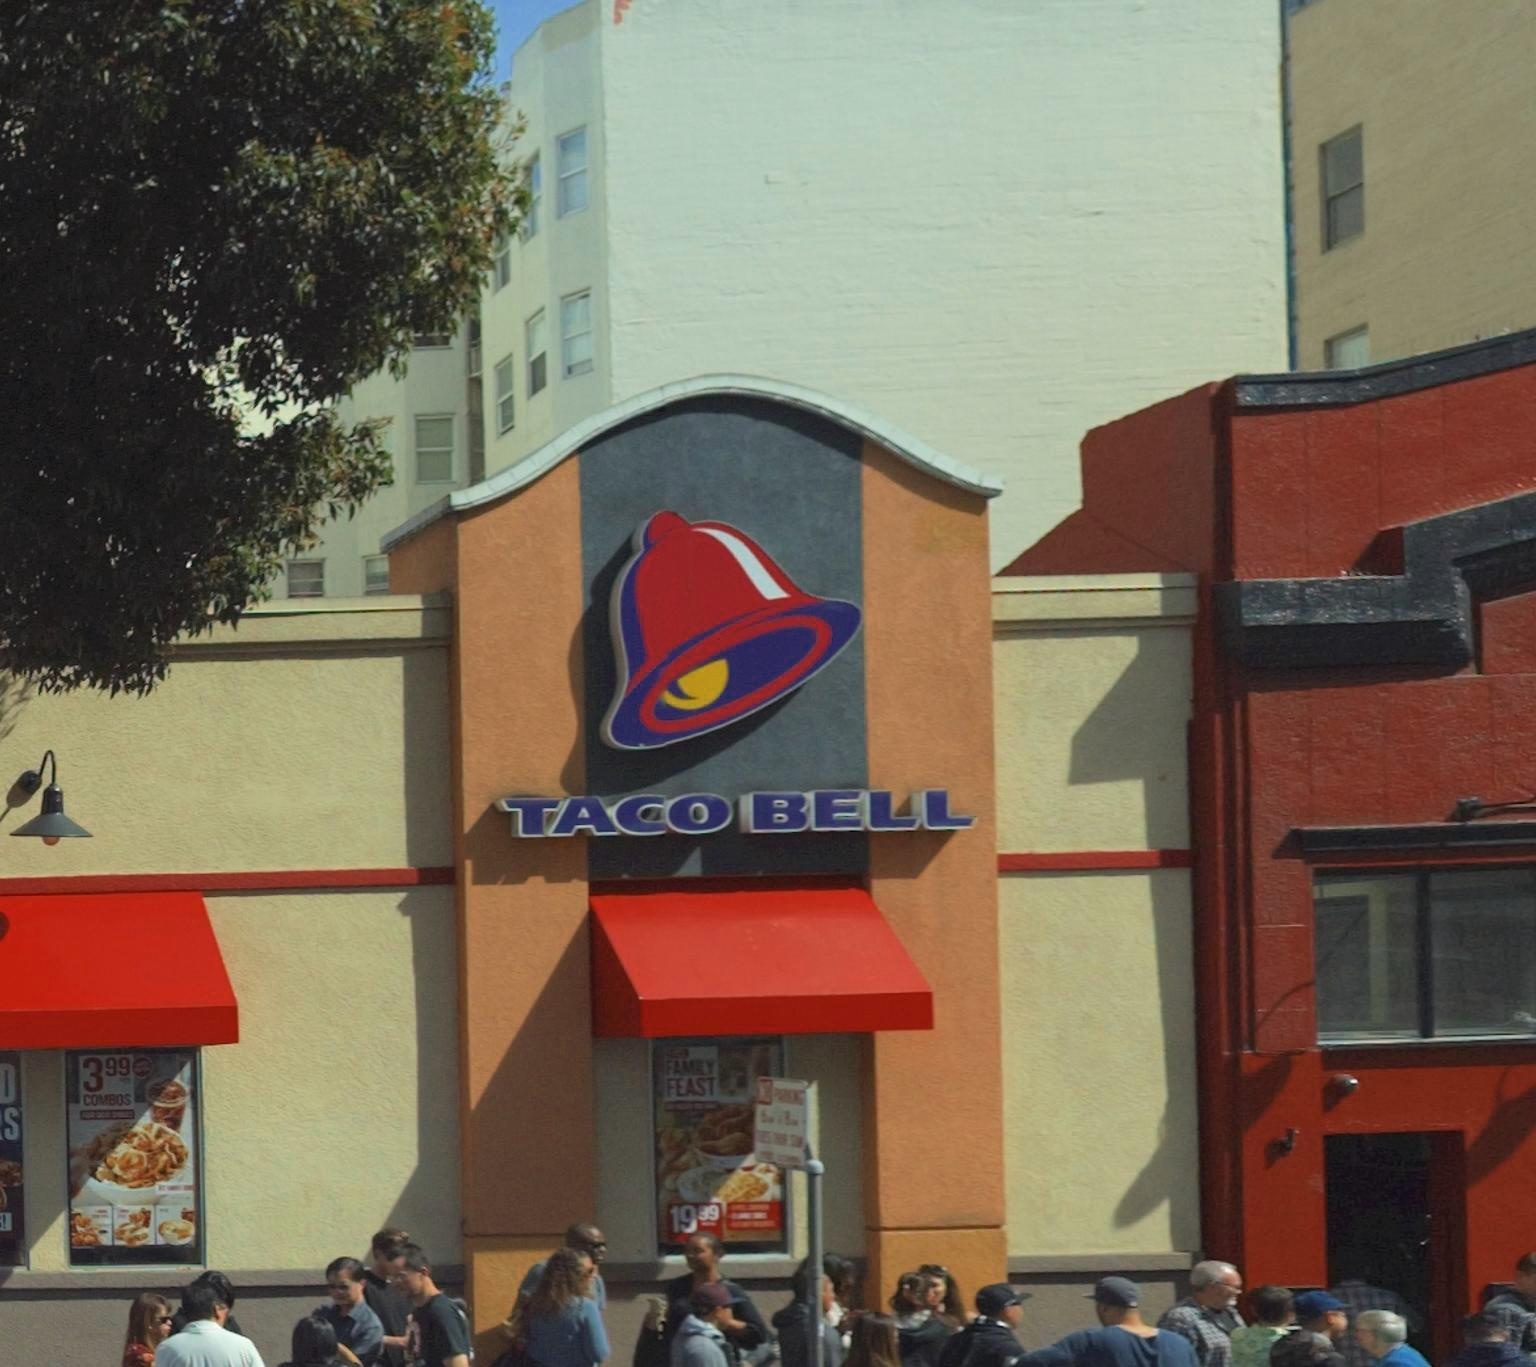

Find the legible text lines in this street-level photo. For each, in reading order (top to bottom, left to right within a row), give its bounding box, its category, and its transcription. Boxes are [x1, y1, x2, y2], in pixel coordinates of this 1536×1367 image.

[498, 787, 980, 839] BusinessName: TACO BELL
[79, 1055, 132, 1095] None: 399
[80, 1091, 132, 1109] None: COMBOS
[662, 1055, 721, 1080] None: FAMILY
[665, 1074, 718, 1101] None: FEAST
[1, 1105, 22, 1144] None: S
[669, 1203, 720, 1236] None: 1999